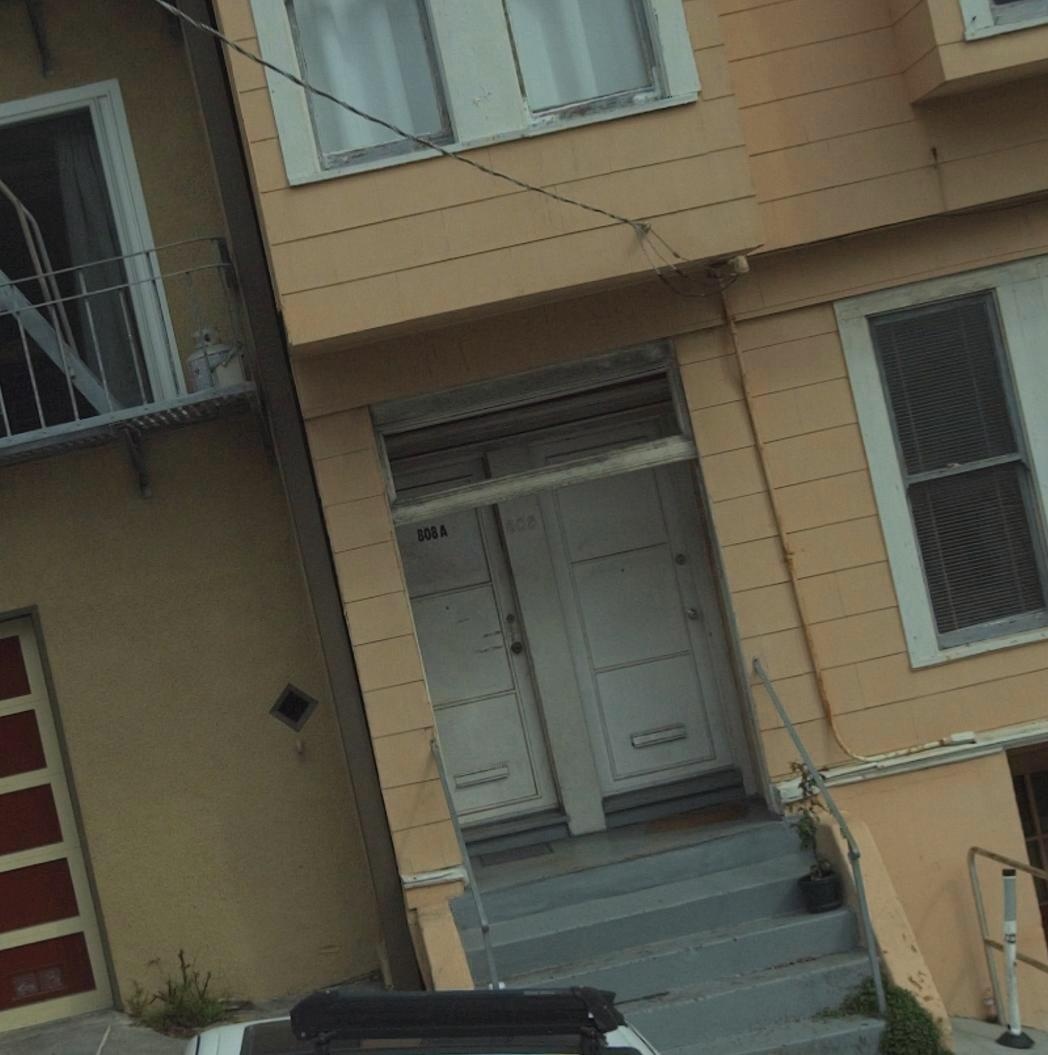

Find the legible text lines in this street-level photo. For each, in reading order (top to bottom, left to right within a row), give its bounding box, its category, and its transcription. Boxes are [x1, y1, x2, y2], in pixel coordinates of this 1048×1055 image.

[415, 523, 452, 544] StreetNumber: 808A
[505, 514, 539, 536] StreetNumber: 808